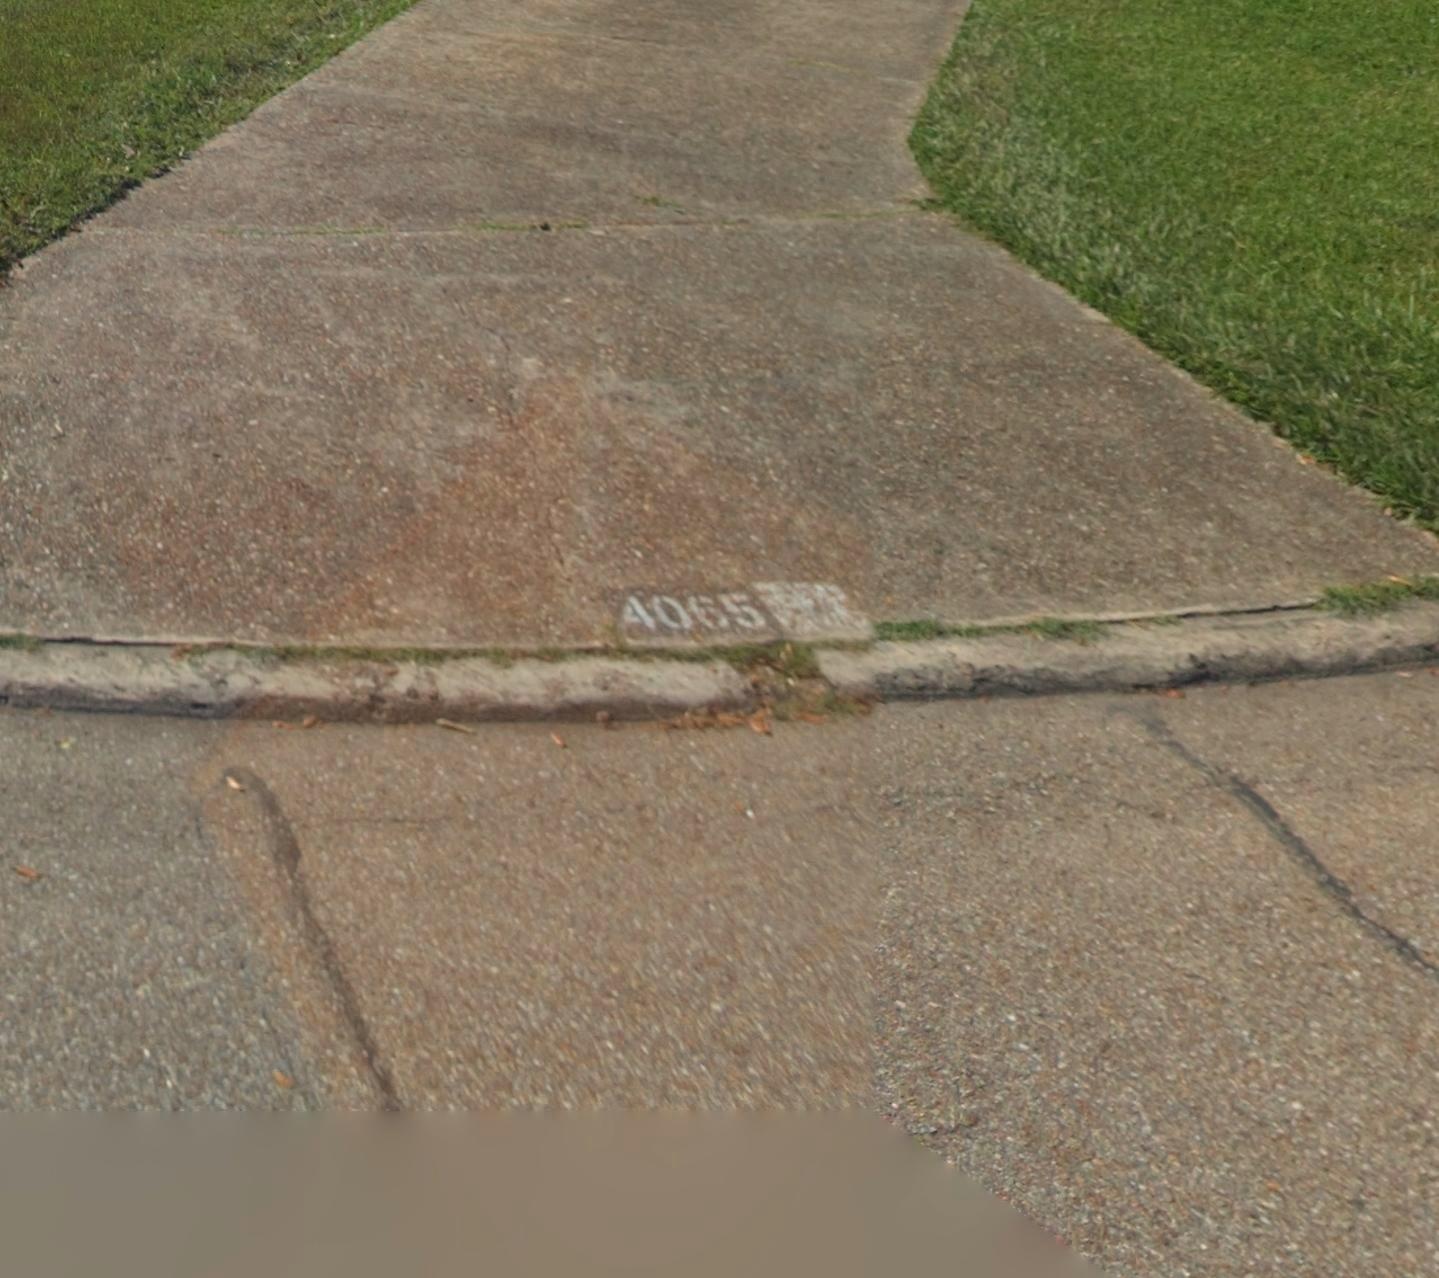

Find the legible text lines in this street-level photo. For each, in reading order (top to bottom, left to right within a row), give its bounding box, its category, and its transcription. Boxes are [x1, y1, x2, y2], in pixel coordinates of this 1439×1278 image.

[611, 591, 773, 636] StreetNumber: 4065